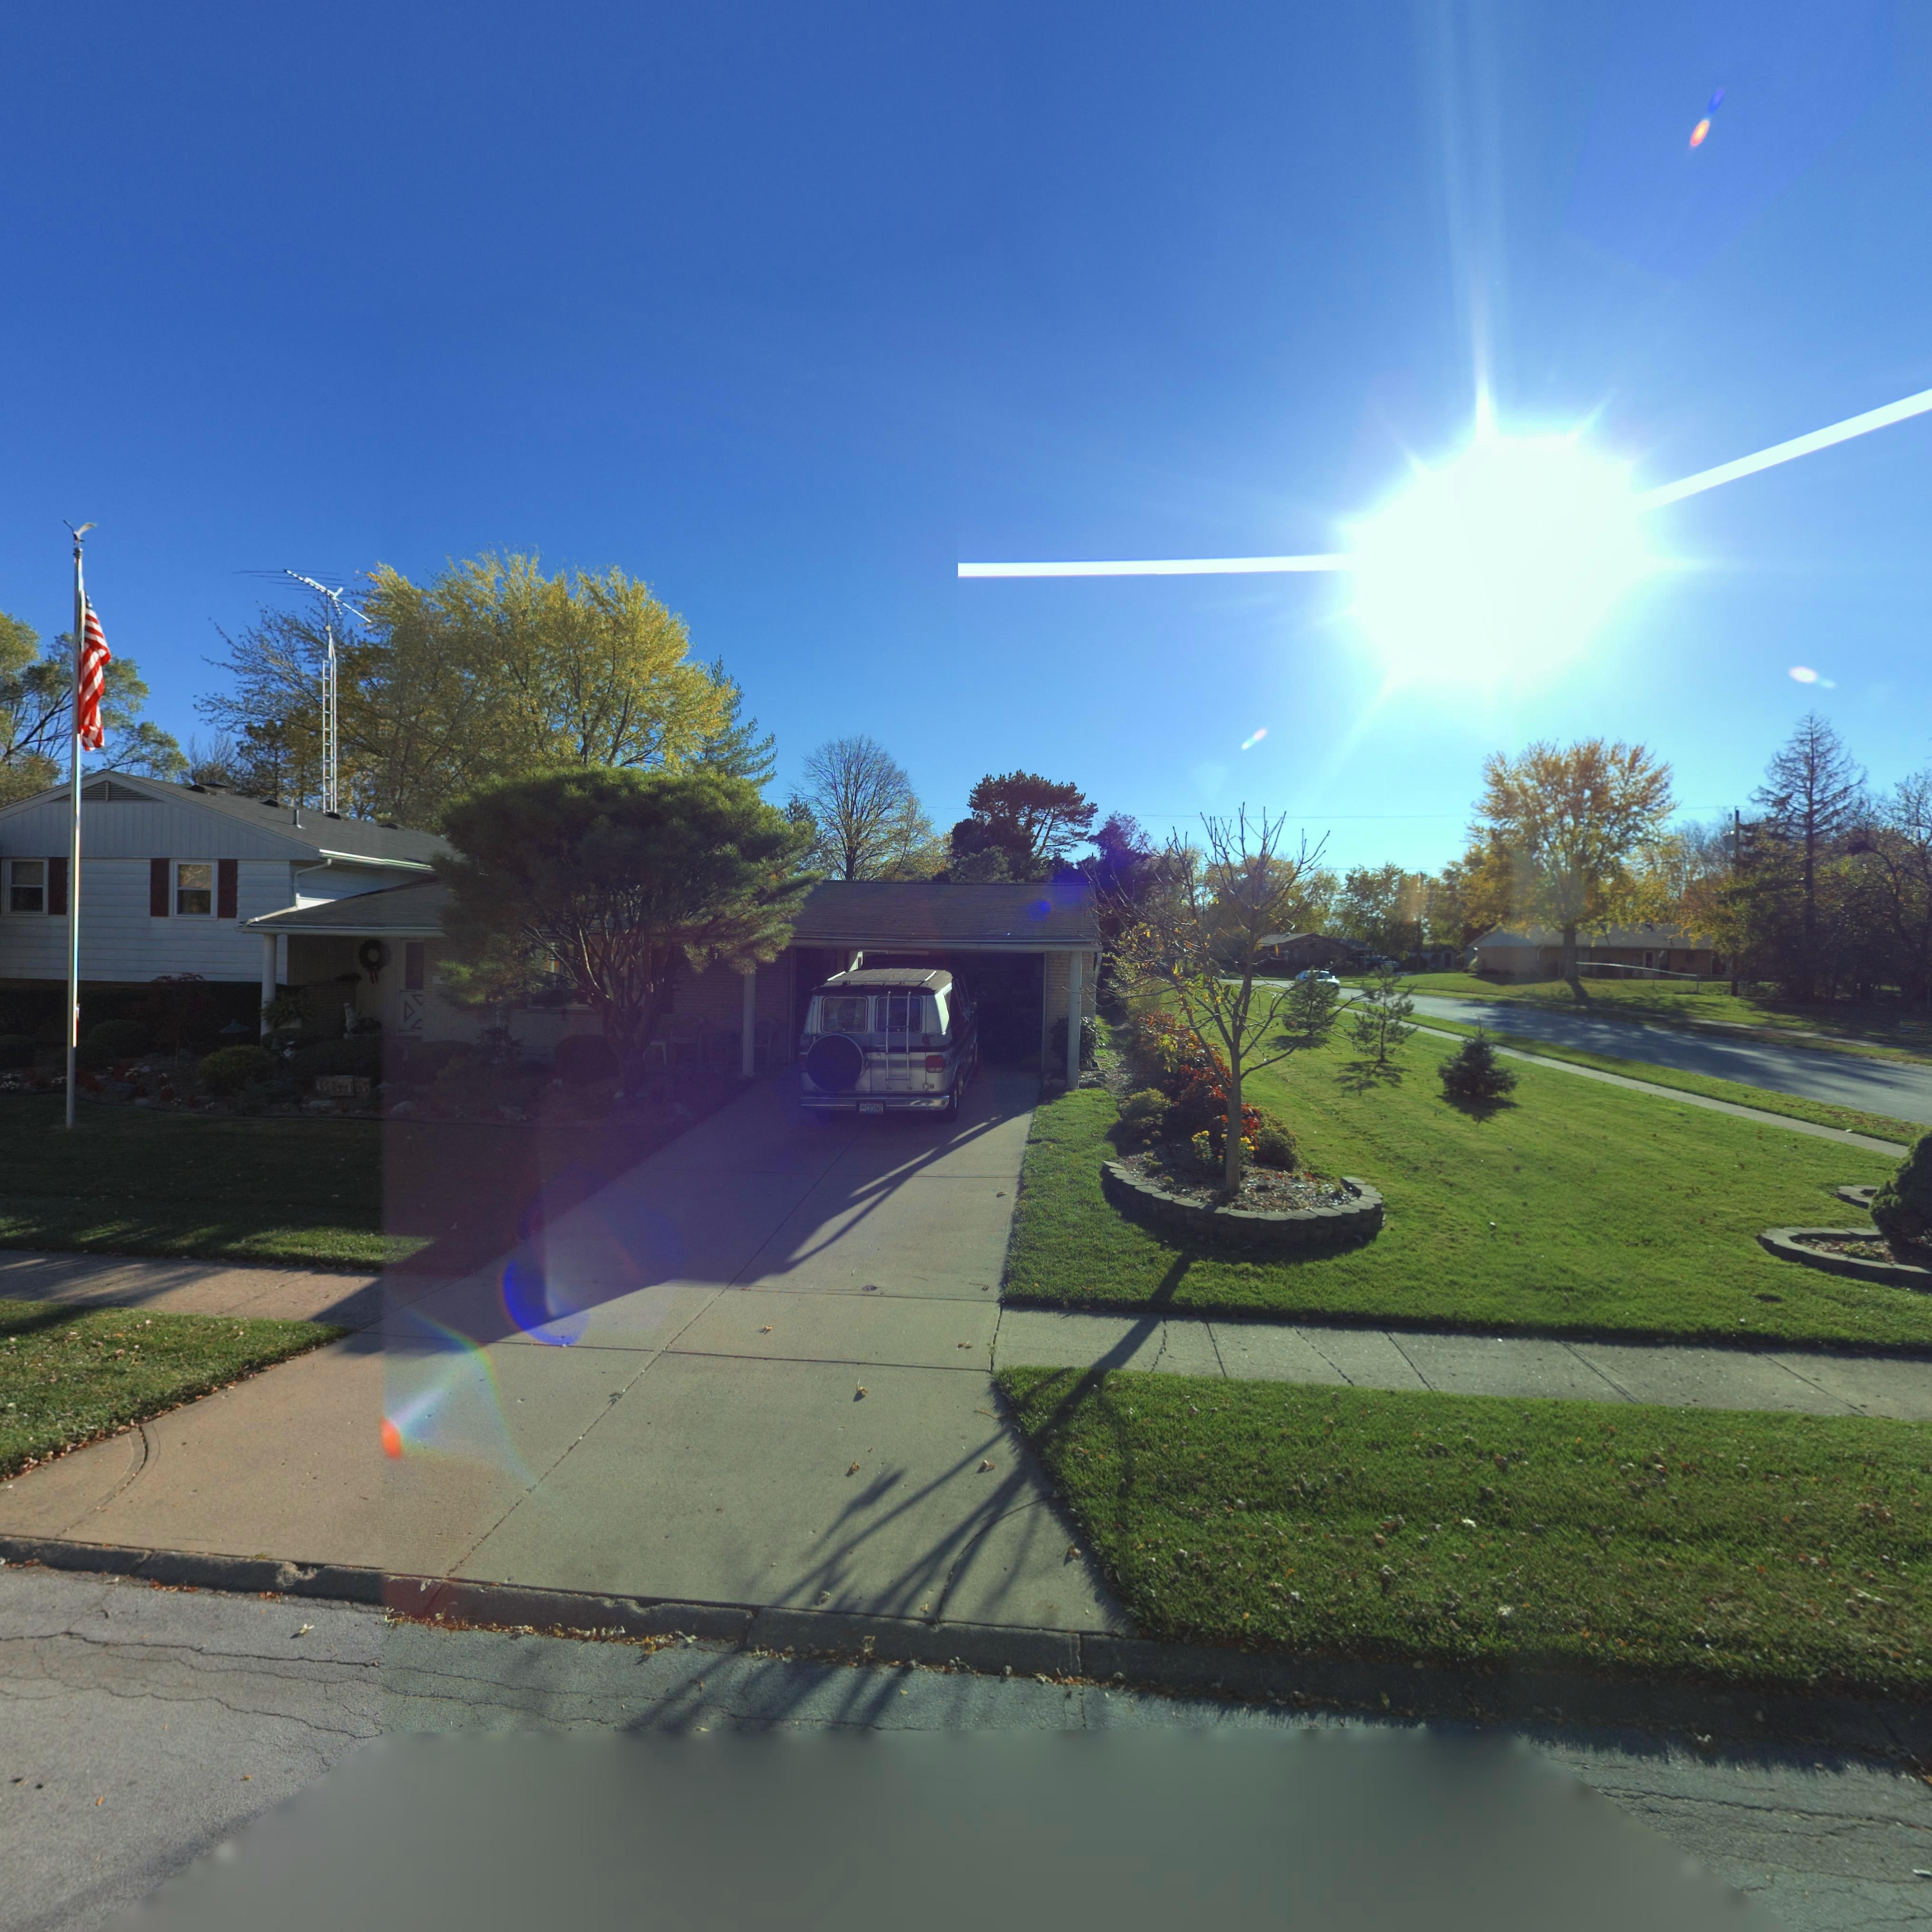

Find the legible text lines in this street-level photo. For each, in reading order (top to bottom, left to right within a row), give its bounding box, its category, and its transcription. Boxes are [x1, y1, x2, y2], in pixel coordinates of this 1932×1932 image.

[315, 1078, 368, 1094] StreetNumber: 6845